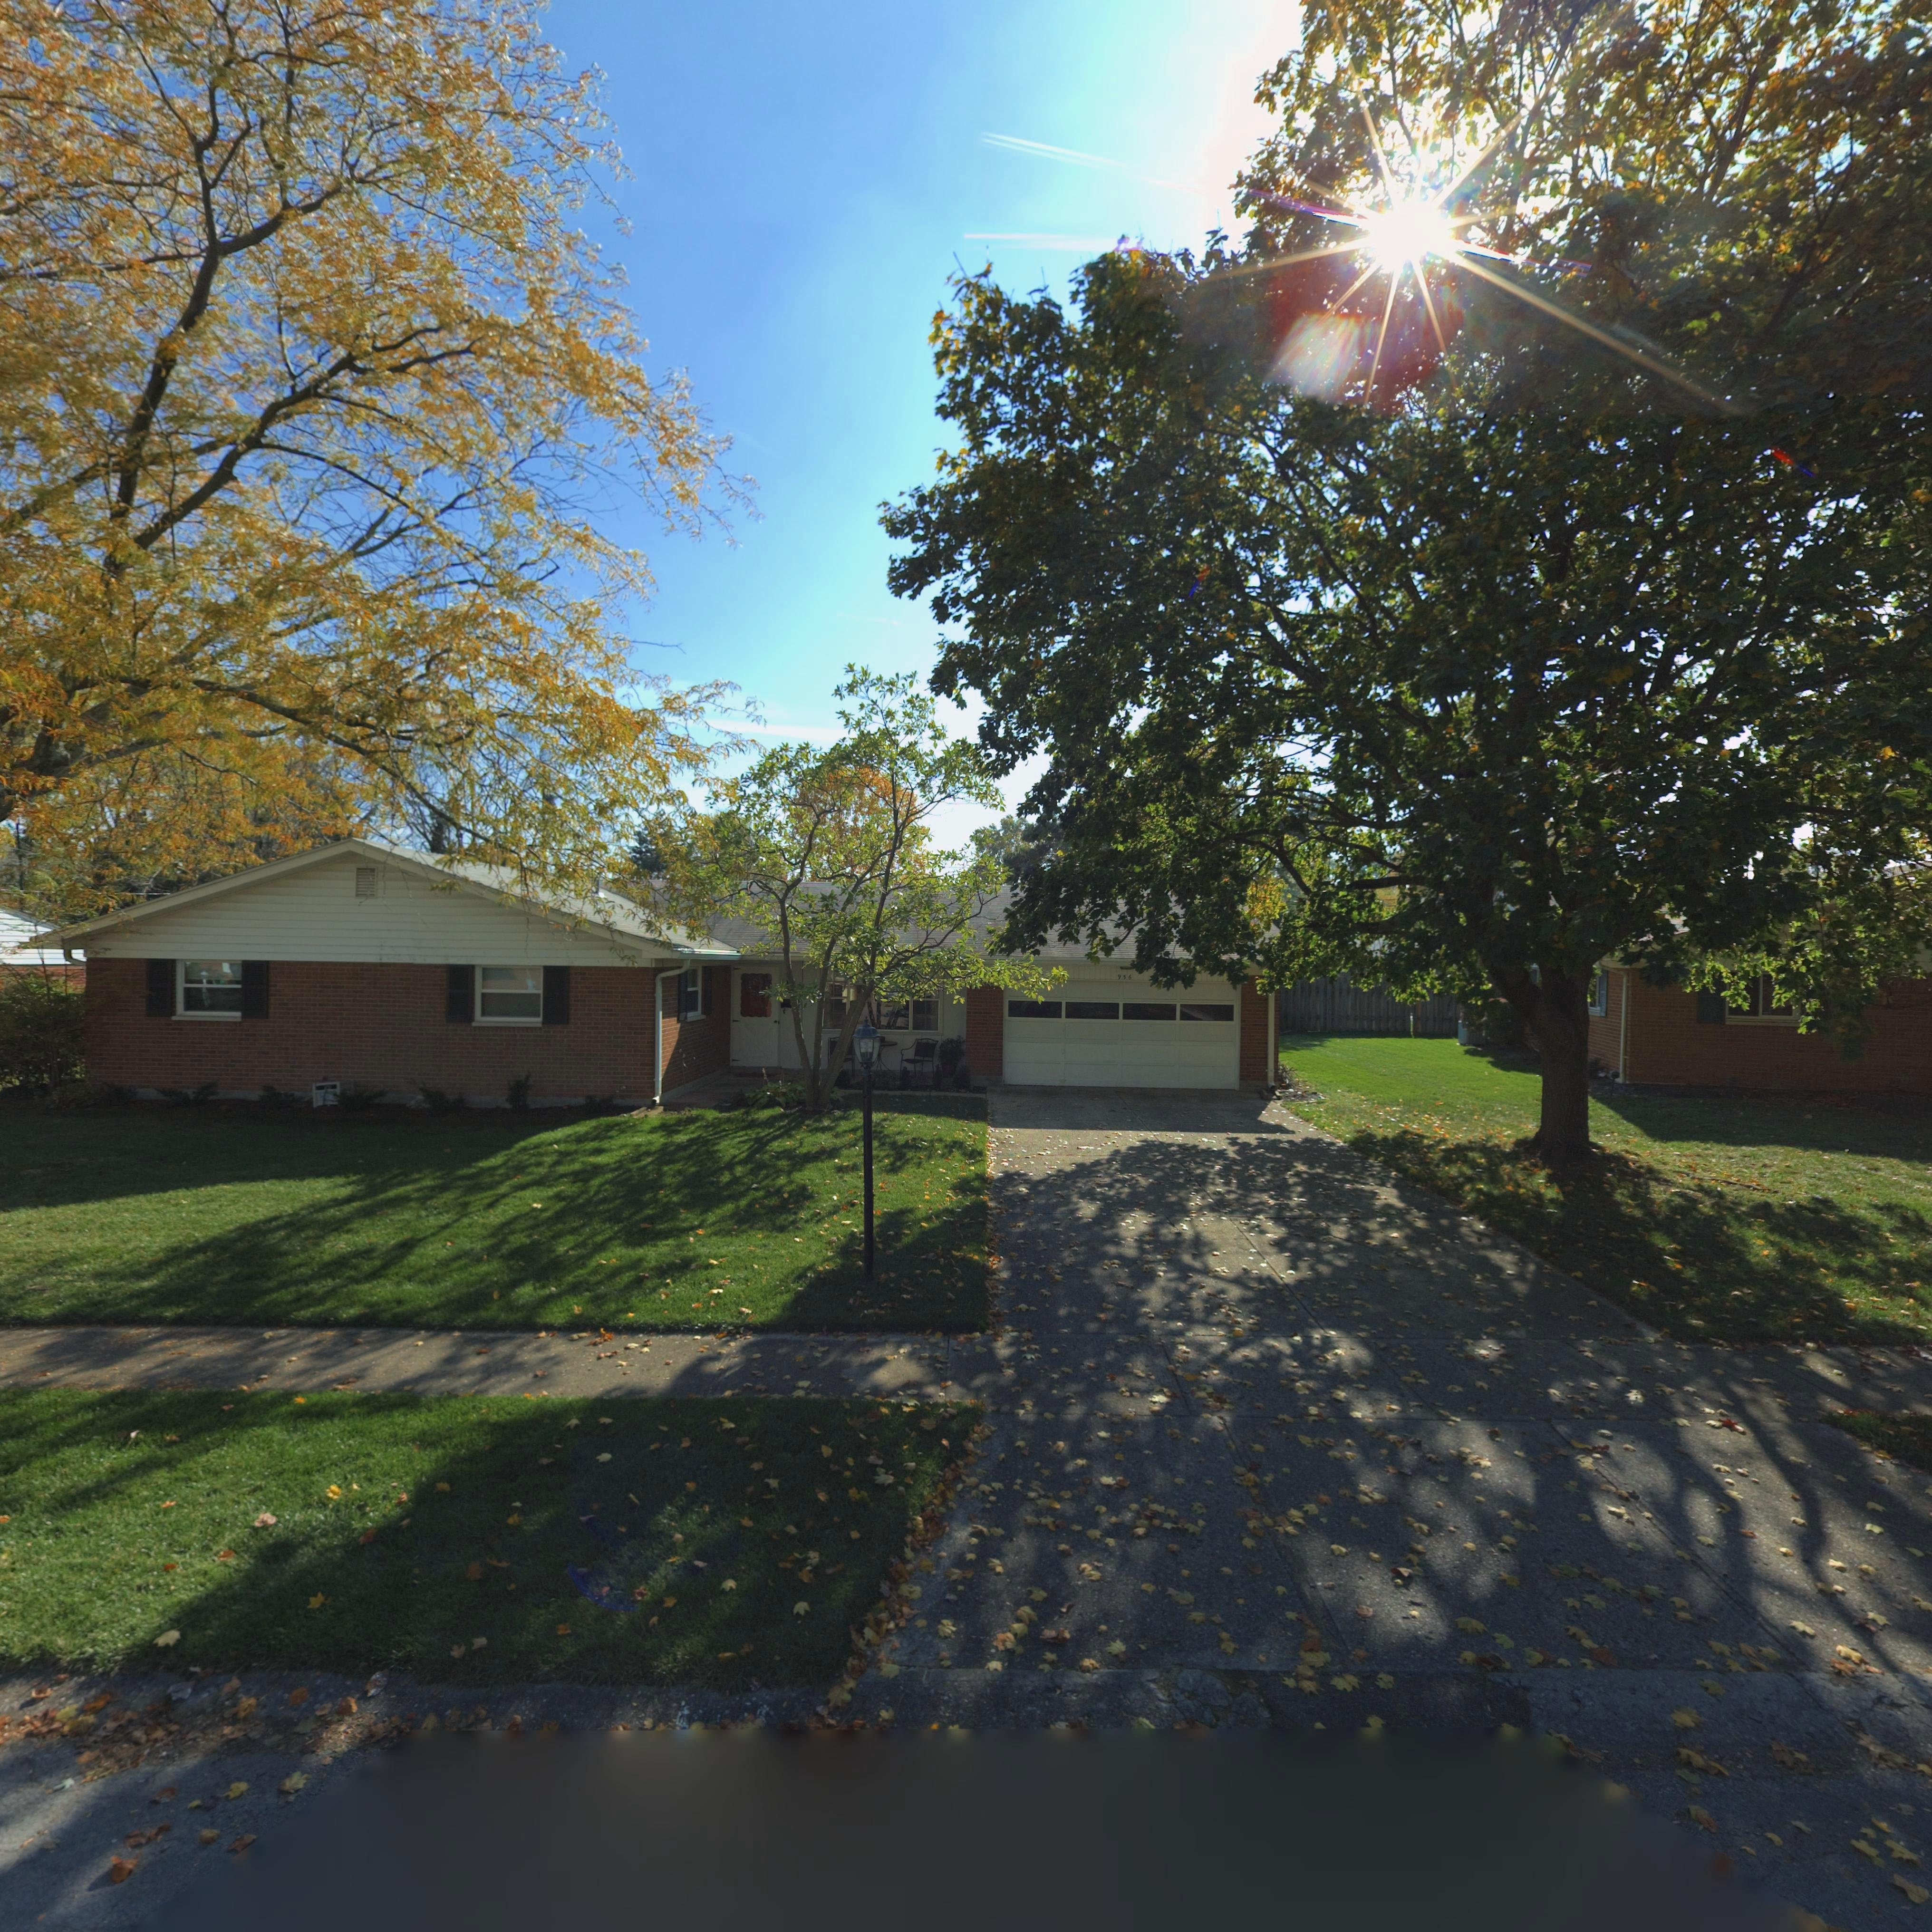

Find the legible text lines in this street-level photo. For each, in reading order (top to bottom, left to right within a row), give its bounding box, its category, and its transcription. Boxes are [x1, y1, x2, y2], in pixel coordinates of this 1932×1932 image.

[1117, 974, 1132, 980] StreetNumber: 956